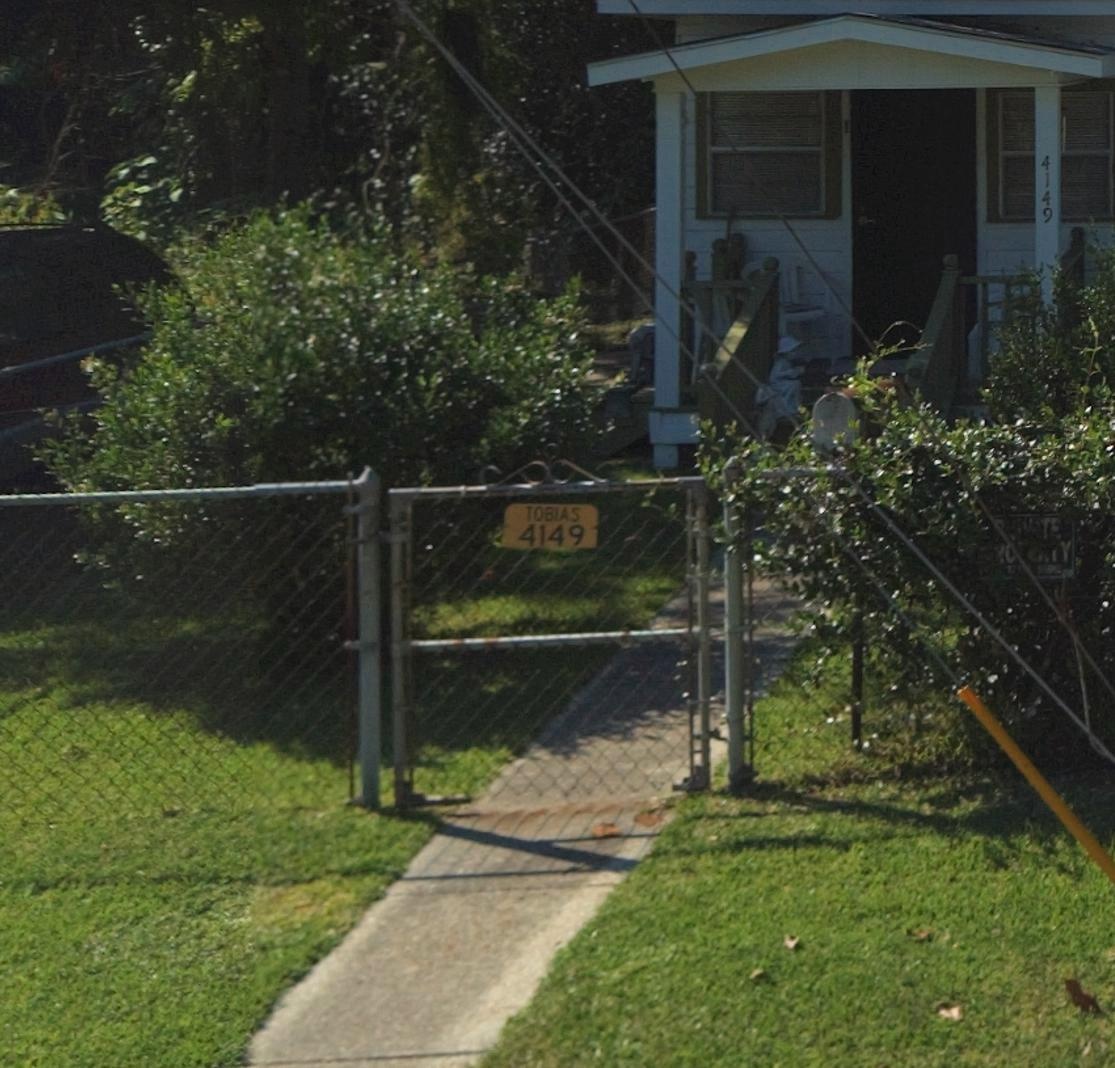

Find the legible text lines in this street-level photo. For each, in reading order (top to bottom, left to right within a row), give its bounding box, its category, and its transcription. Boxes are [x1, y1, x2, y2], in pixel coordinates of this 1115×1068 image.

[1039, 153, 1054, 225] StreetNumber: 4149
[523, 504, 583, 523] None: TOBIAS
[515, 522, 588, 548] StreetNumber: 4149